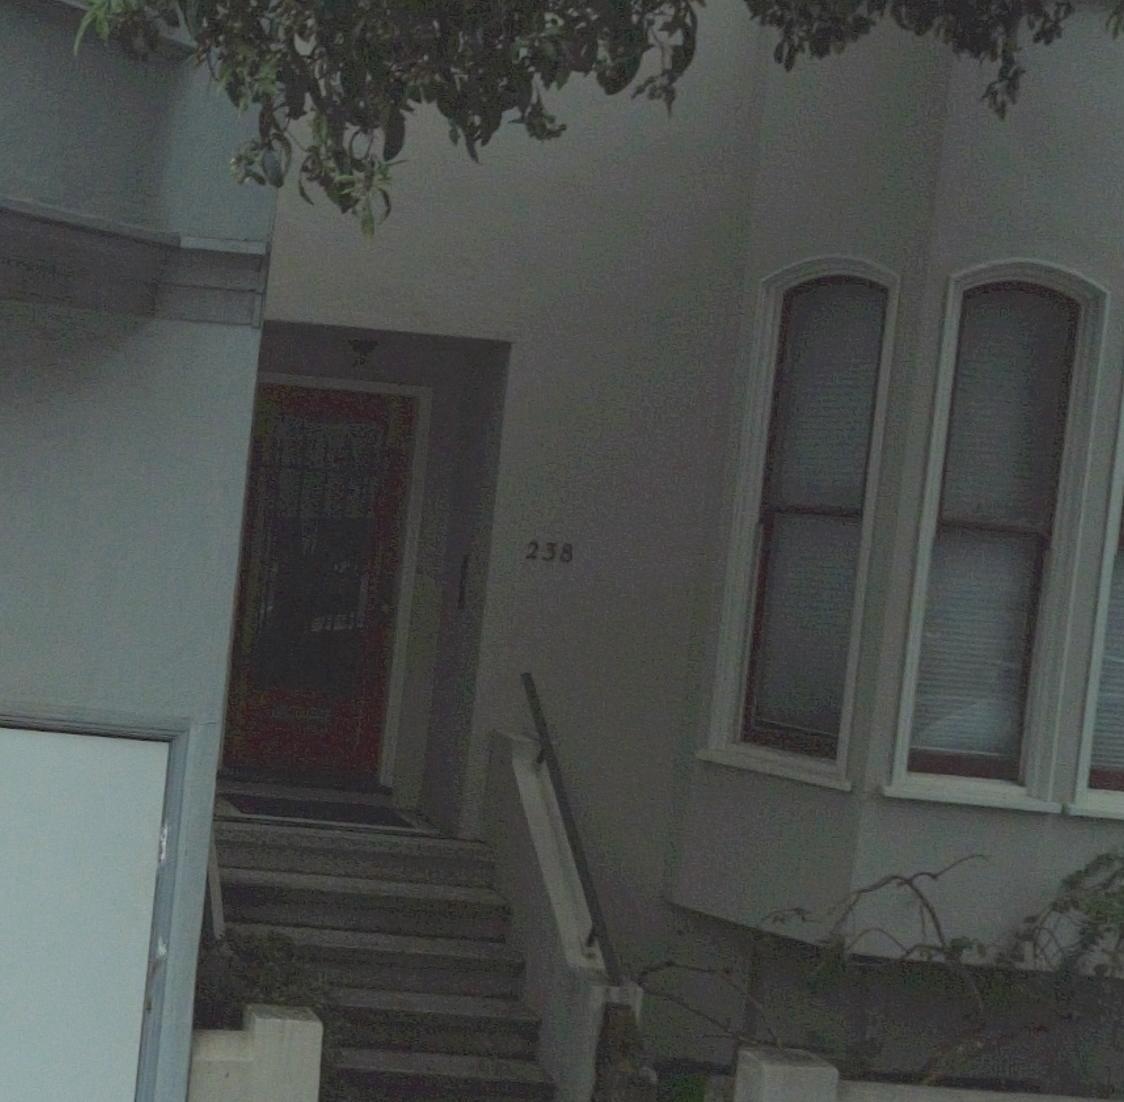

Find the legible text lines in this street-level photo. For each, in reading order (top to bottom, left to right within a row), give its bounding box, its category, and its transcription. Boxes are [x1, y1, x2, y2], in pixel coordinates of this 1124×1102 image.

[522, 537, 576, 566] StreetNumber: 238